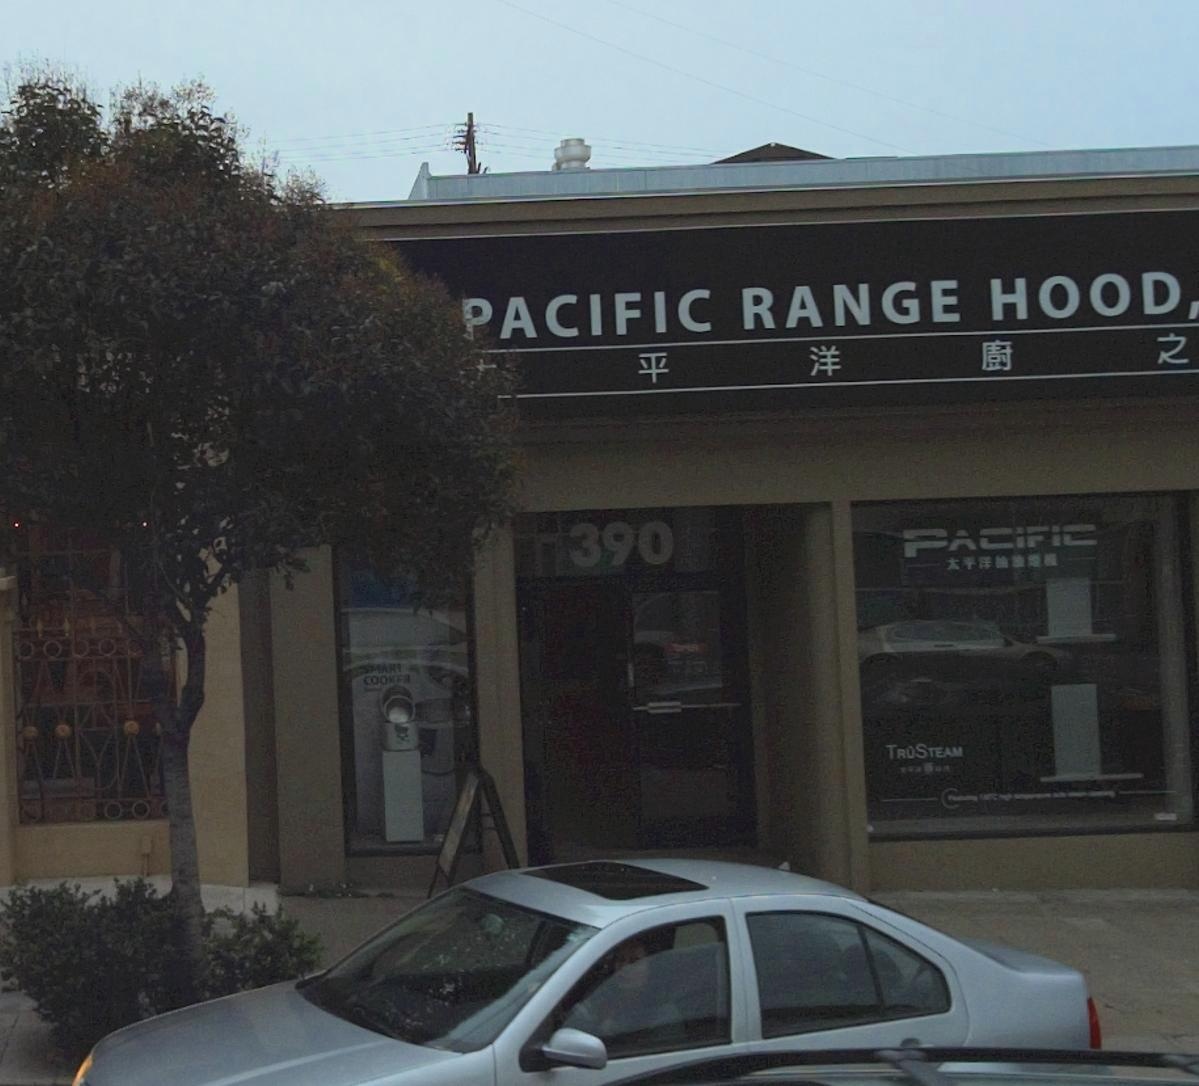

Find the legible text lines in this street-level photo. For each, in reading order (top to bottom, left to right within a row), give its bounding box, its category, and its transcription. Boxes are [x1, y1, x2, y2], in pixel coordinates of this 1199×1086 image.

[459, 269, 1184, 344] BusinessName: PACIFIC RANGE HOOD
[565, 518, 676, 569] StreetNumber: 390
[901, 523, 1101, 561] BusinessName: PACIFIC
[362, 662, 403, 675] None: SMART
[363, 674, 411, 685] None: COOKER
[884, 742, 965, 760] None: TROSTEAM